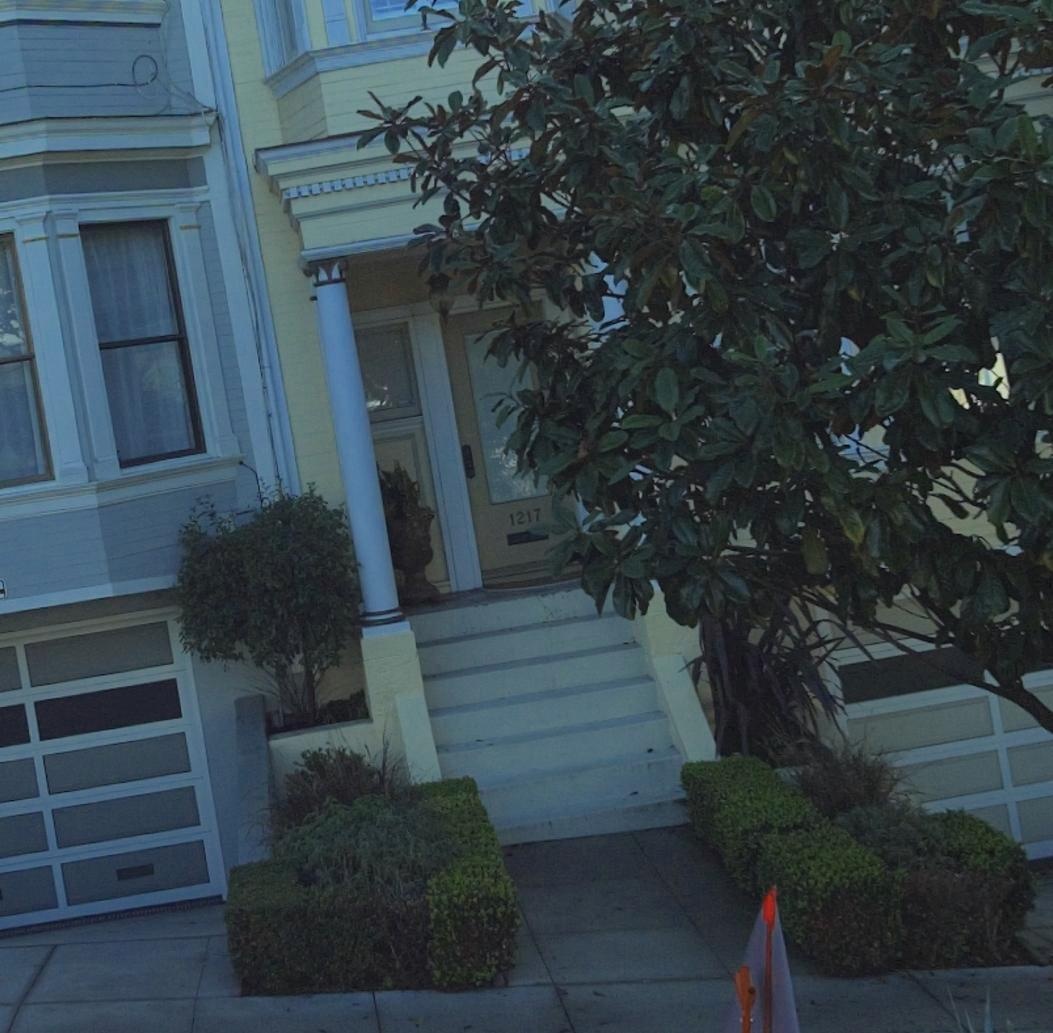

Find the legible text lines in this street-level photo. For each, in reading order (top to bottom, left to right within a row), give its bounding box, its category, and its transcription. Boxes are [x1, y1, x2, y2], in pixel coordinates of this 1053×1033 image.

[509, 506, 542, 528] StreetNumber: 1217